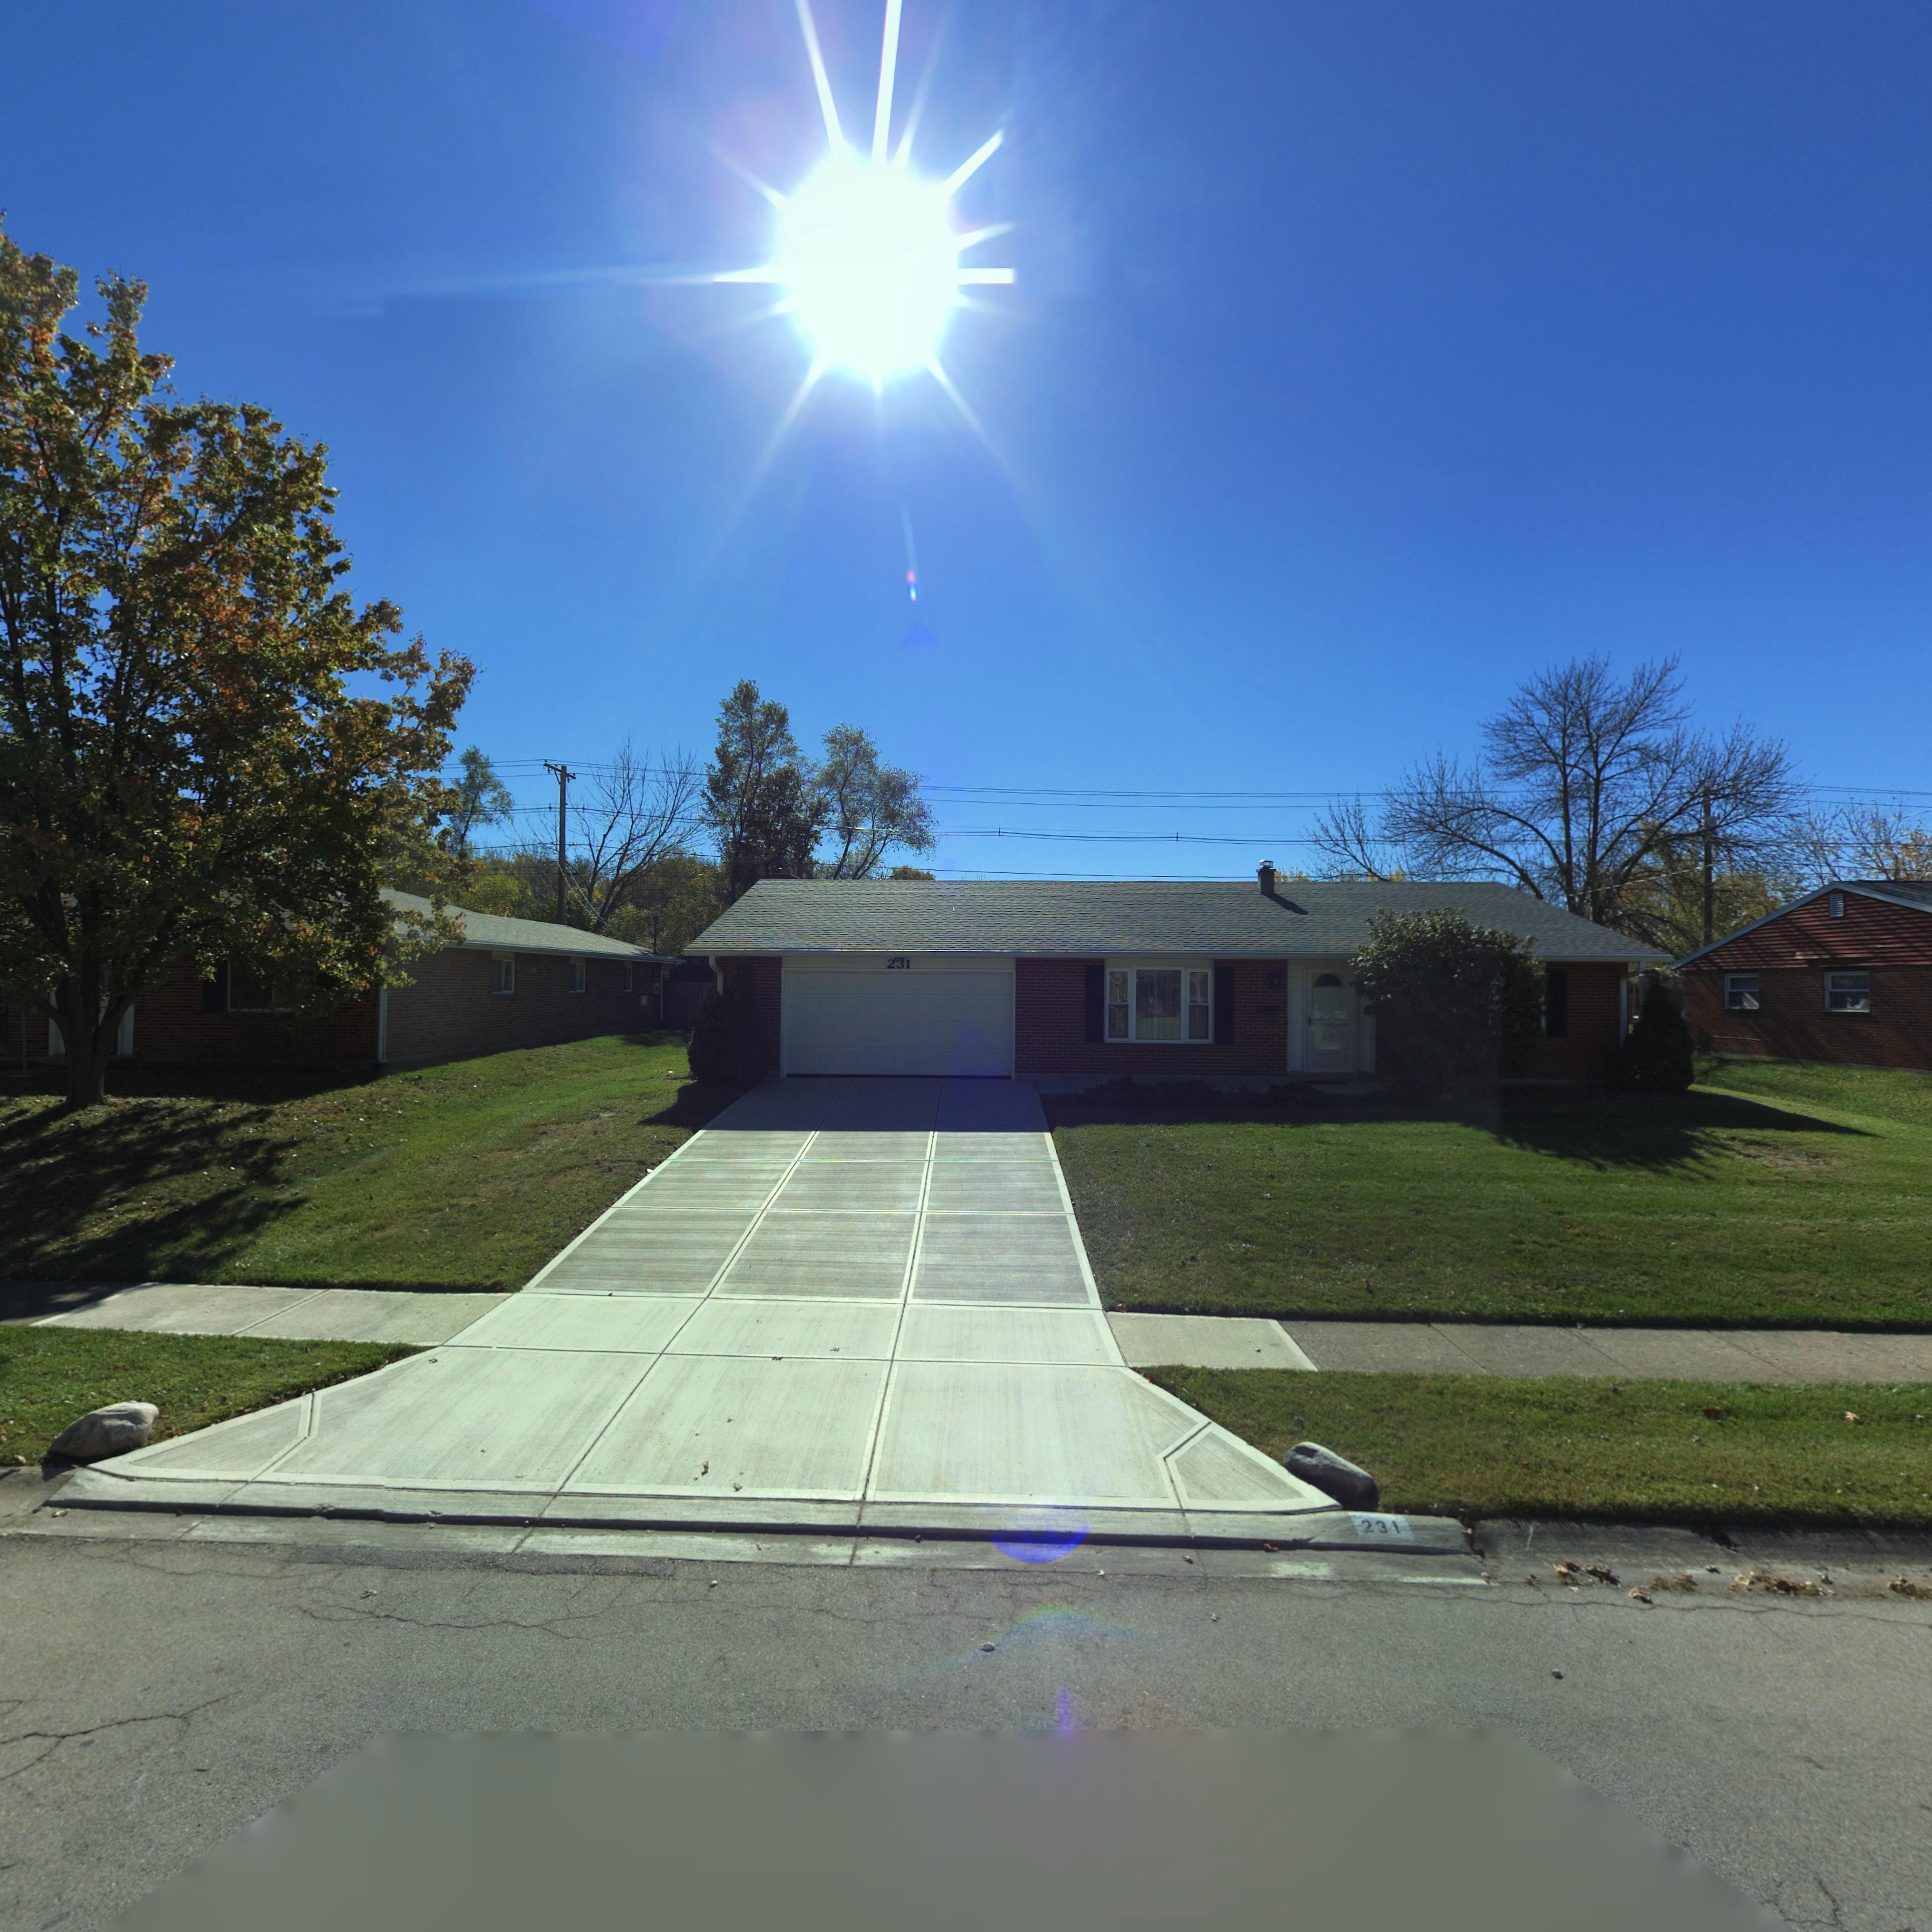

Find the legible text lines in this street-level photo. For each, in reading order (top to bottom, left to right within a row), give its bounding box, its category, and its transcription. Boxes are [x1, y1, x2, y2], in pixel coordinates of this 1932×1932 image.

[886, 958, 910, 969] StreetNumber: 231
[1359, 1519, 1402, 1535] StreetNumber: 231